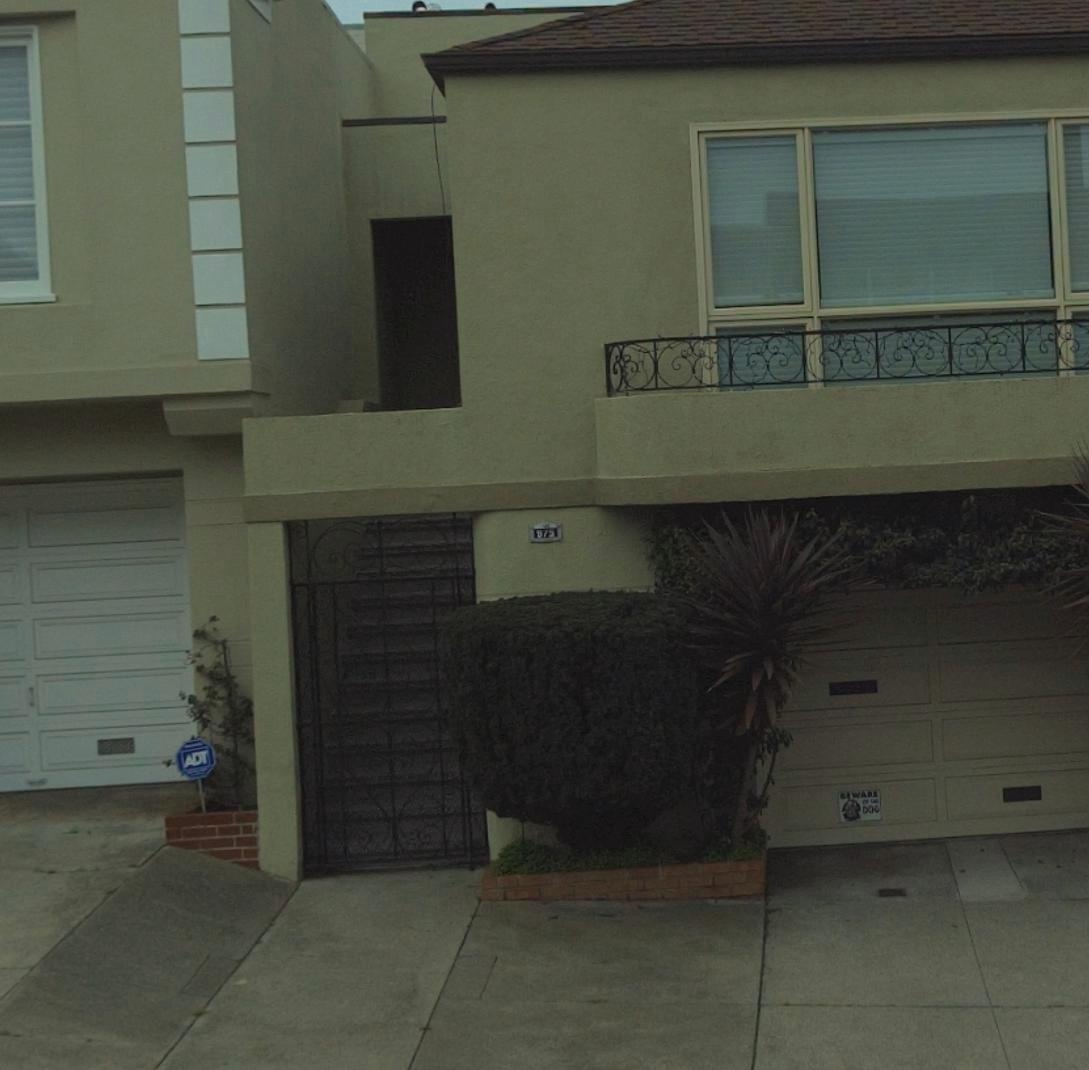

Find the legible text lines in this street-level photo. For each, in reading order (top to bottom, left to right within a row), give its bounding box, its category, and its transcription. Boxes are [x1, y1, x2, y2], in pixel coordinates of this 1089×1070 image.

[534, 529, 556, 539] StreetNumber: 975
[182, 749, 209, 769] None: ADT
[839, 789, 878, 800] None: BEWARE
[861, 797, 879, 804] None: OF THE
[861, 804, 881, 815] None: DOG